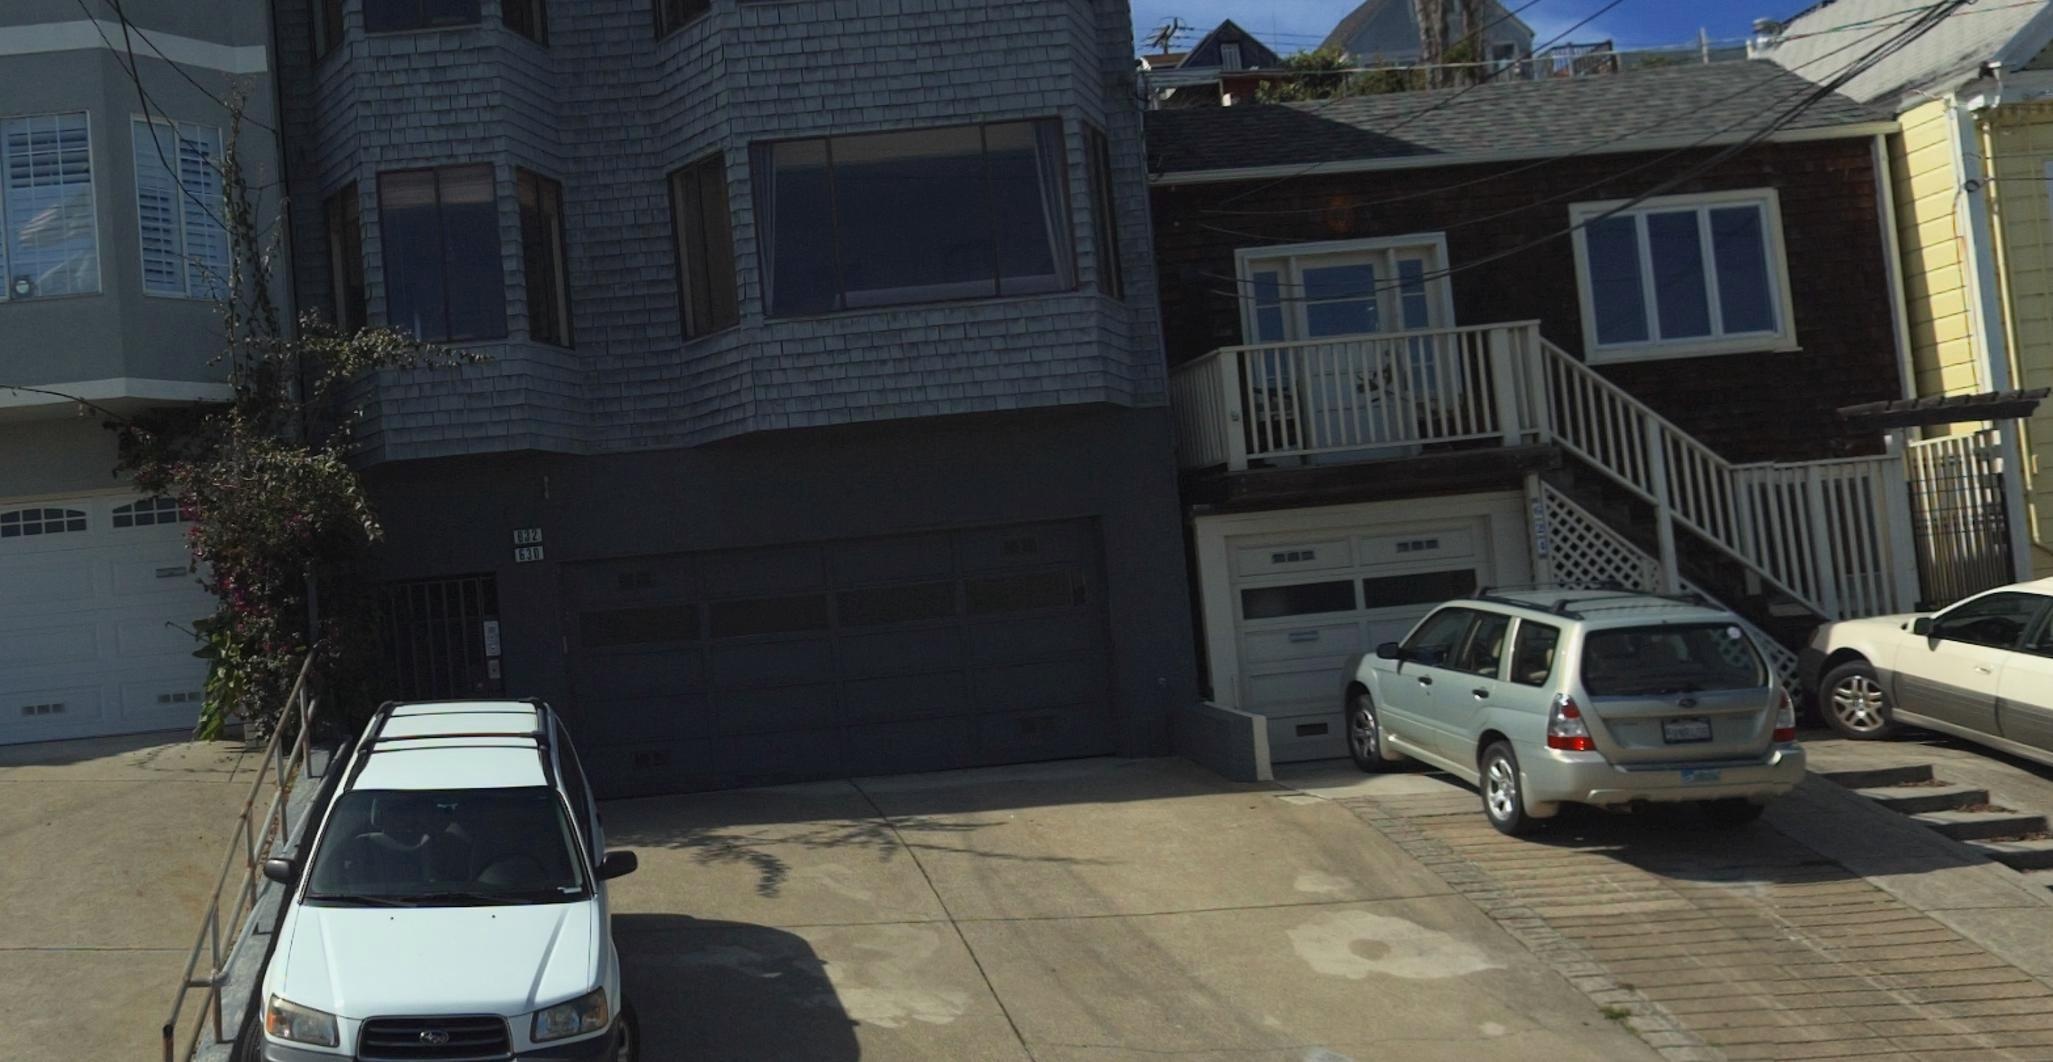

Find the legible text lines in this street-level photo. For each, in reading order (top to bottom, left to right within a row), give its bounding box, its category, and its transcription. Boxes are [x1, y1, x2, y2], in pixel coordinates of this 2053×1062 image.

[516, 527, 539, 544] StreetNumber: 632
[1532, 504, 1548, 552] StreetNumber: 624
[518, 546, 540, 561] StreetNumber: 630\